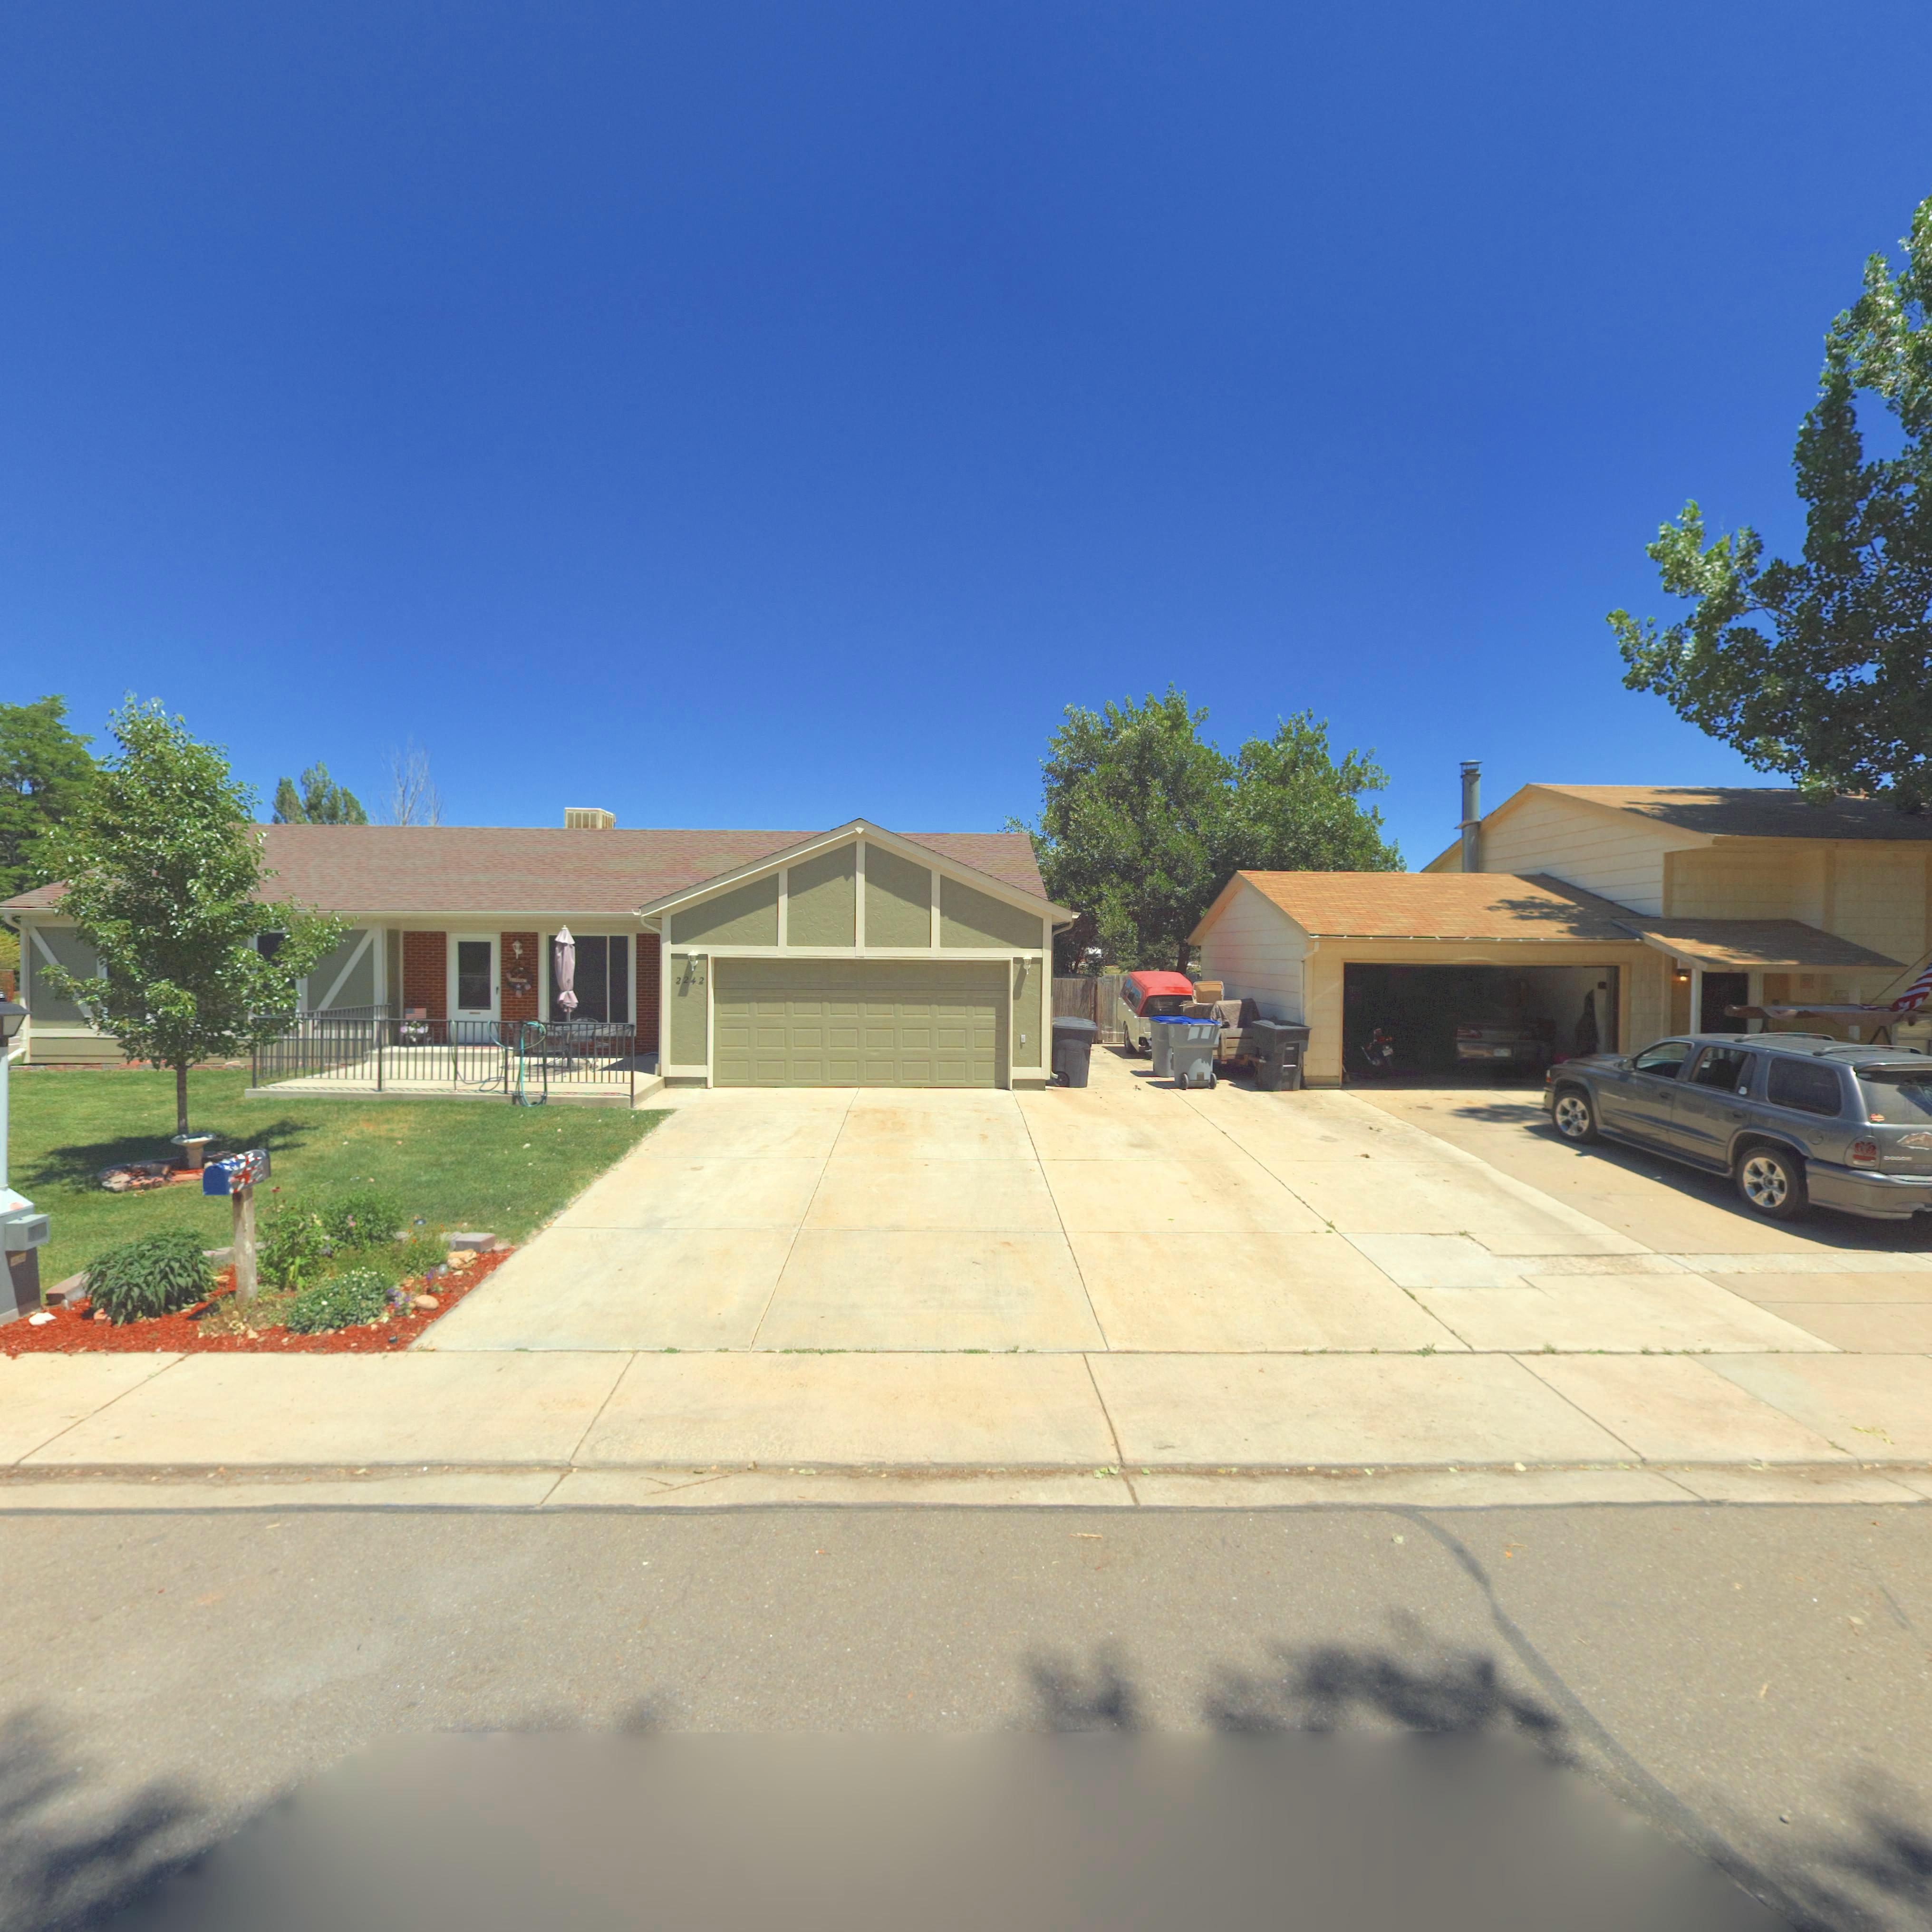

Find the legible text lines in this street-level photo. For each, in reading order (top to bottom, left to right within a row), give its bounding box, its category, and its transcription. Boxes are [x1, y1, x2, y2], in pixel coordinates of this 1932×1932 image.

[675, 976, 704, 985] StreetNumber: 2242